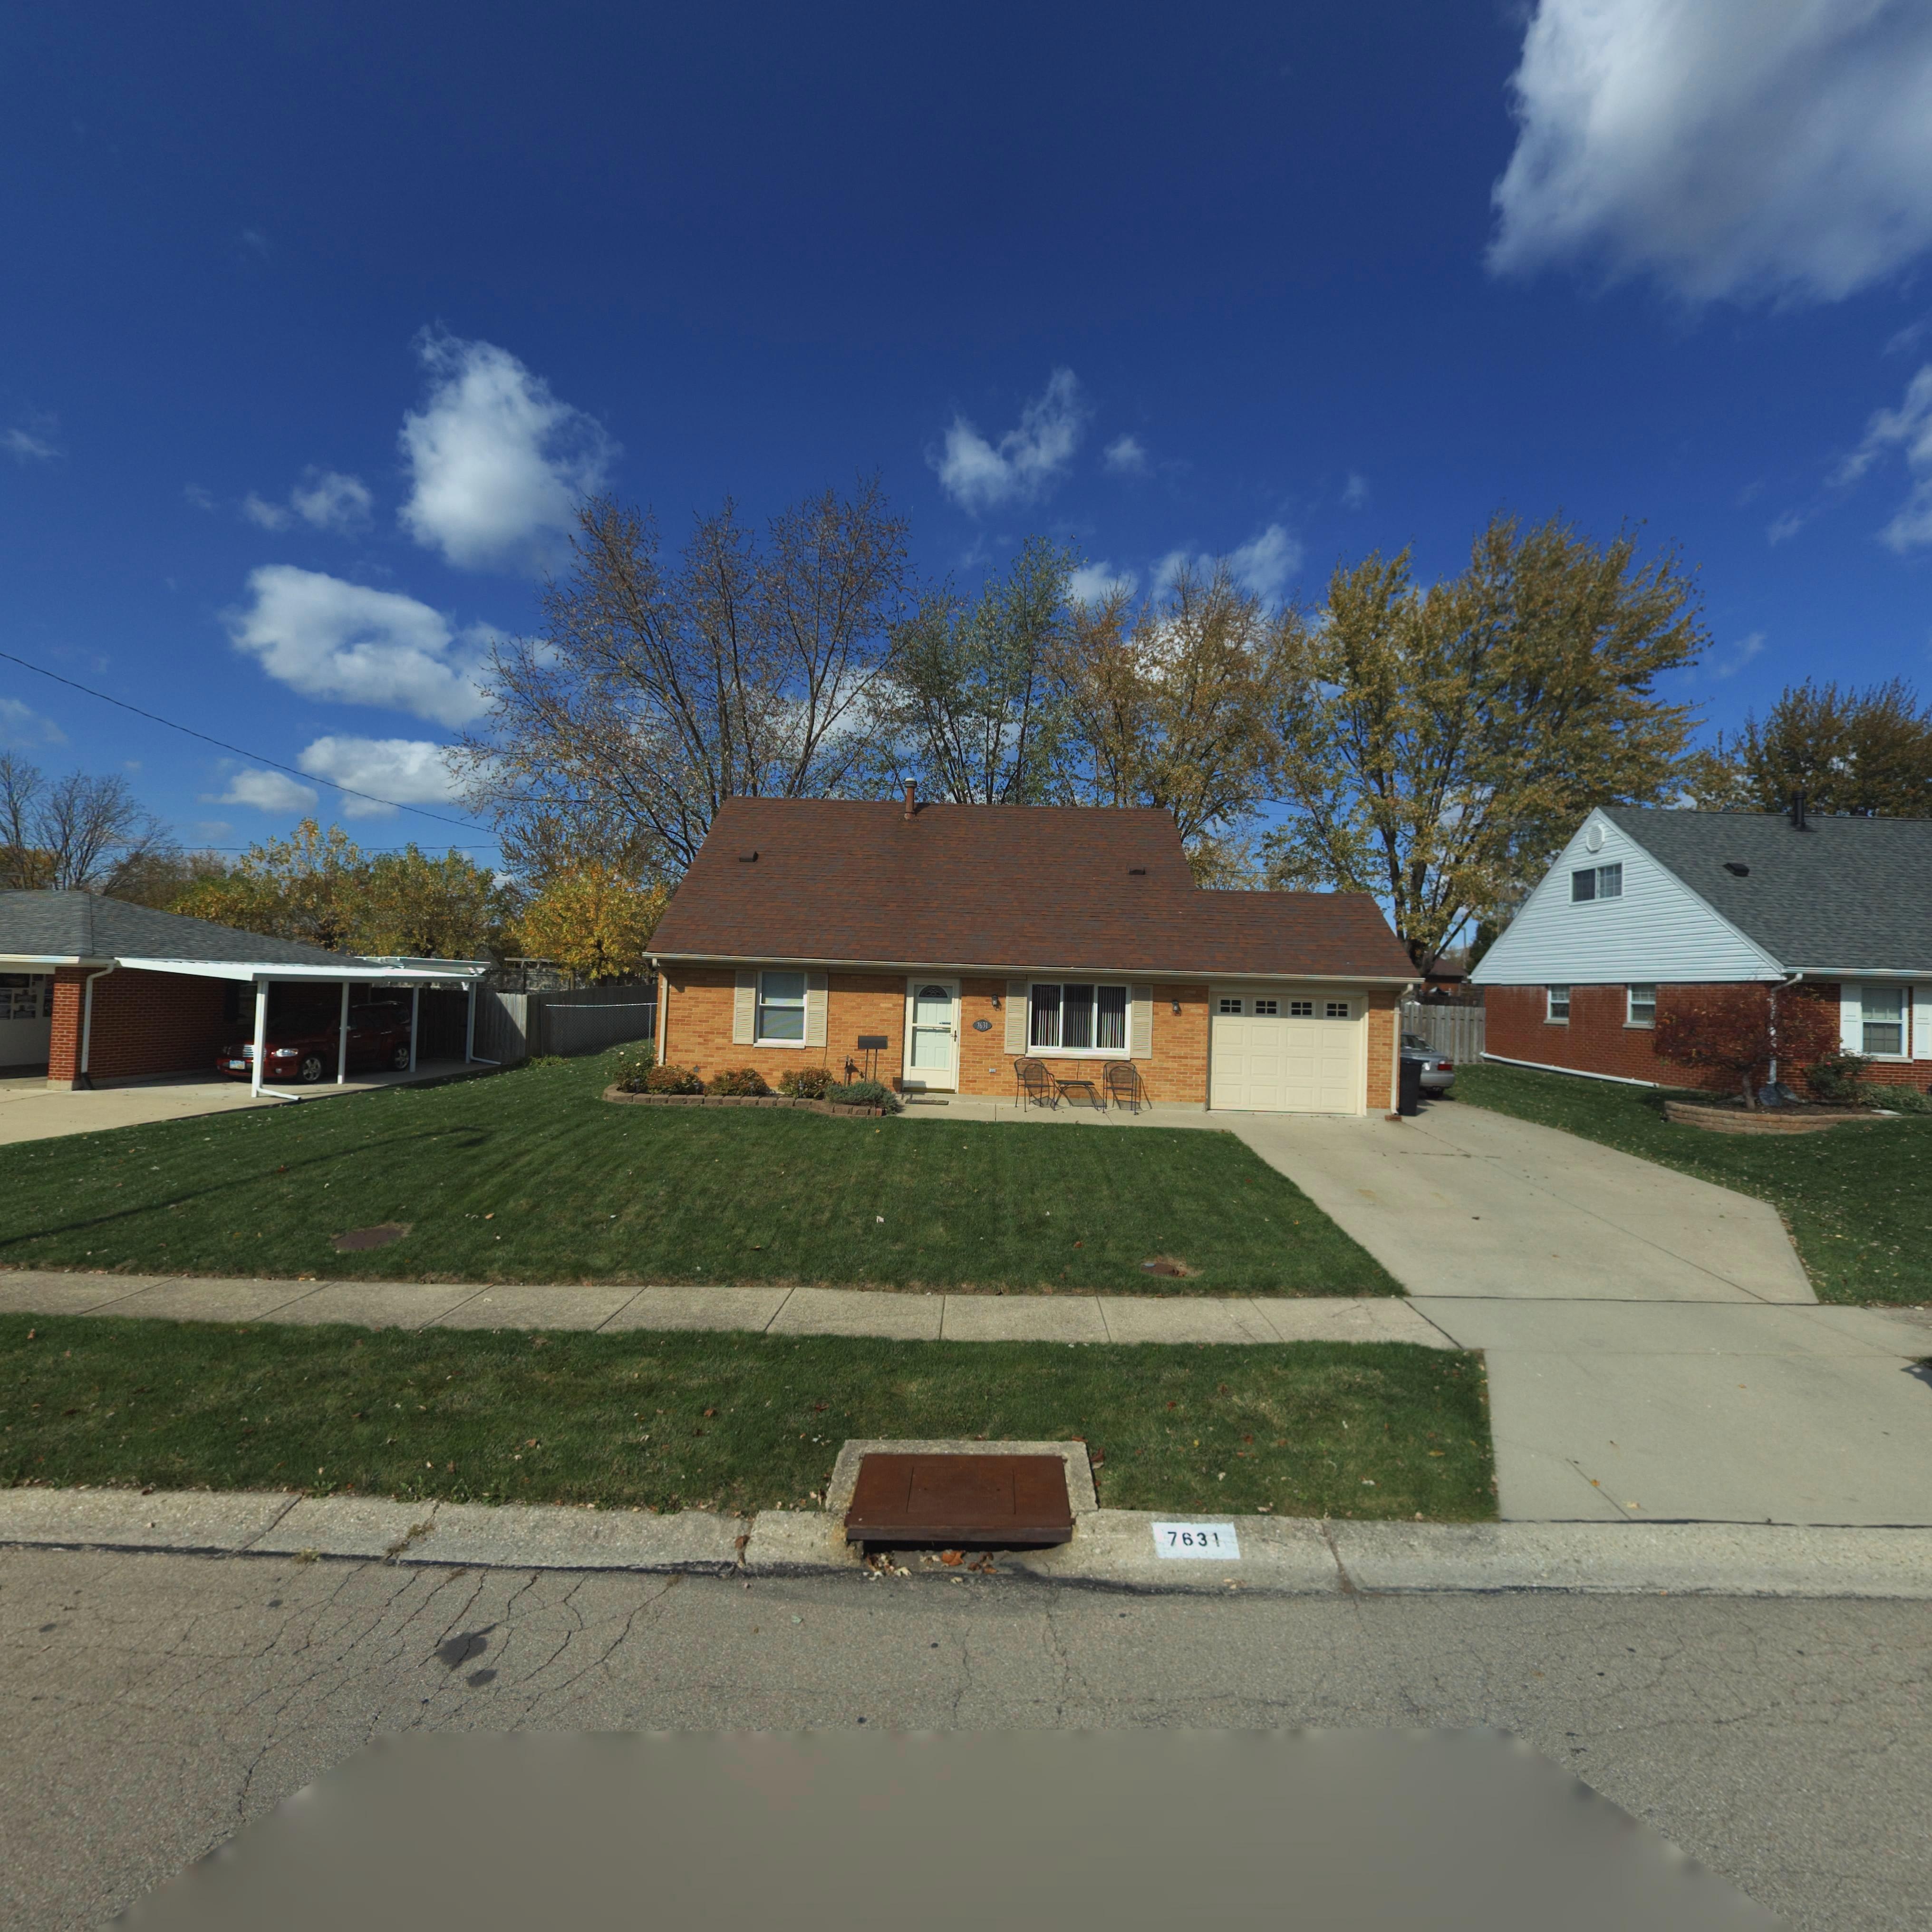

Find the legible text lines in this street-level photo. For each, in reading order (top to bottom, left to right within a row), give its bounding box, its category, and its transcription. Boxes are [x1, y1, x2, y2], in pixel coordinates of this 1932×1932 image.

[976, 1022, 988, 1029] StreetNumber: 7631
[1166, 1530, 1221, 1548] StreetNumber: 7631